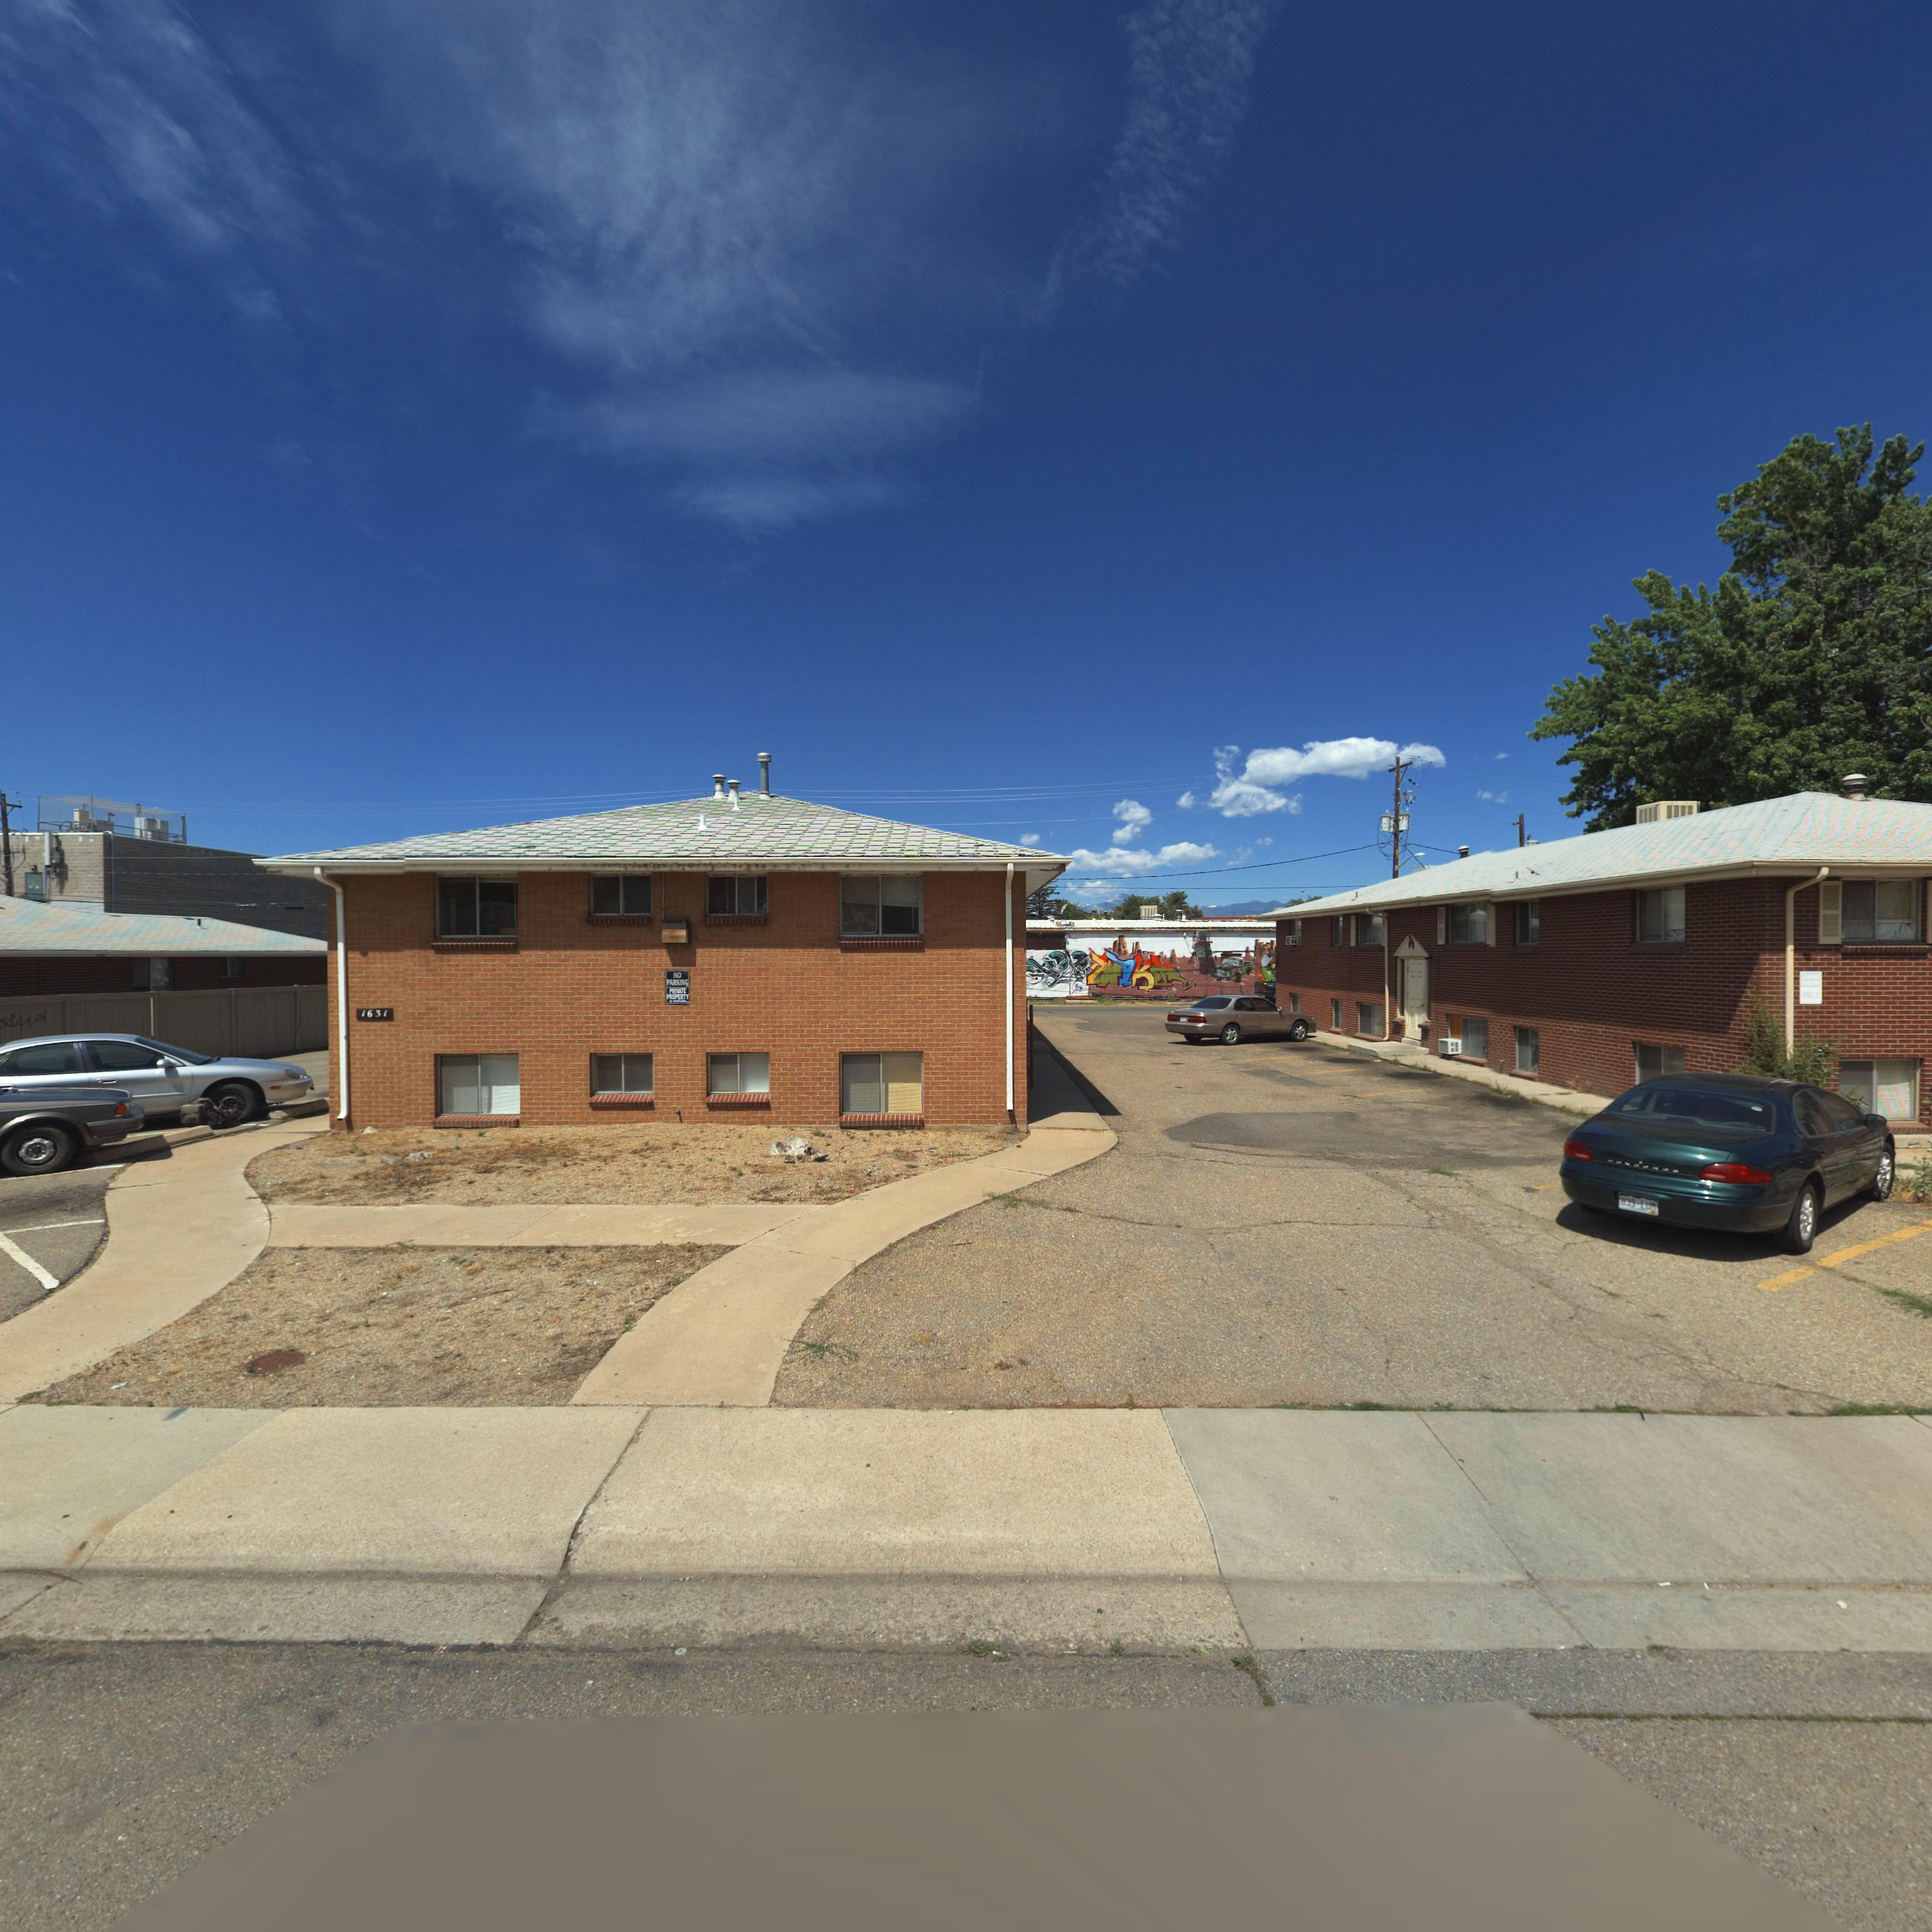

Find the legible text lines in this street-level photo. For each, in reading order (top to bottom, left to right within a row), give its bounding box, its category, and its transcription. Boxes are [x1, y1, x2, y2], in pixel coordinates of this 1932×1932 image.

[361, 1009, 388, 1017] StreetNumber: 1631